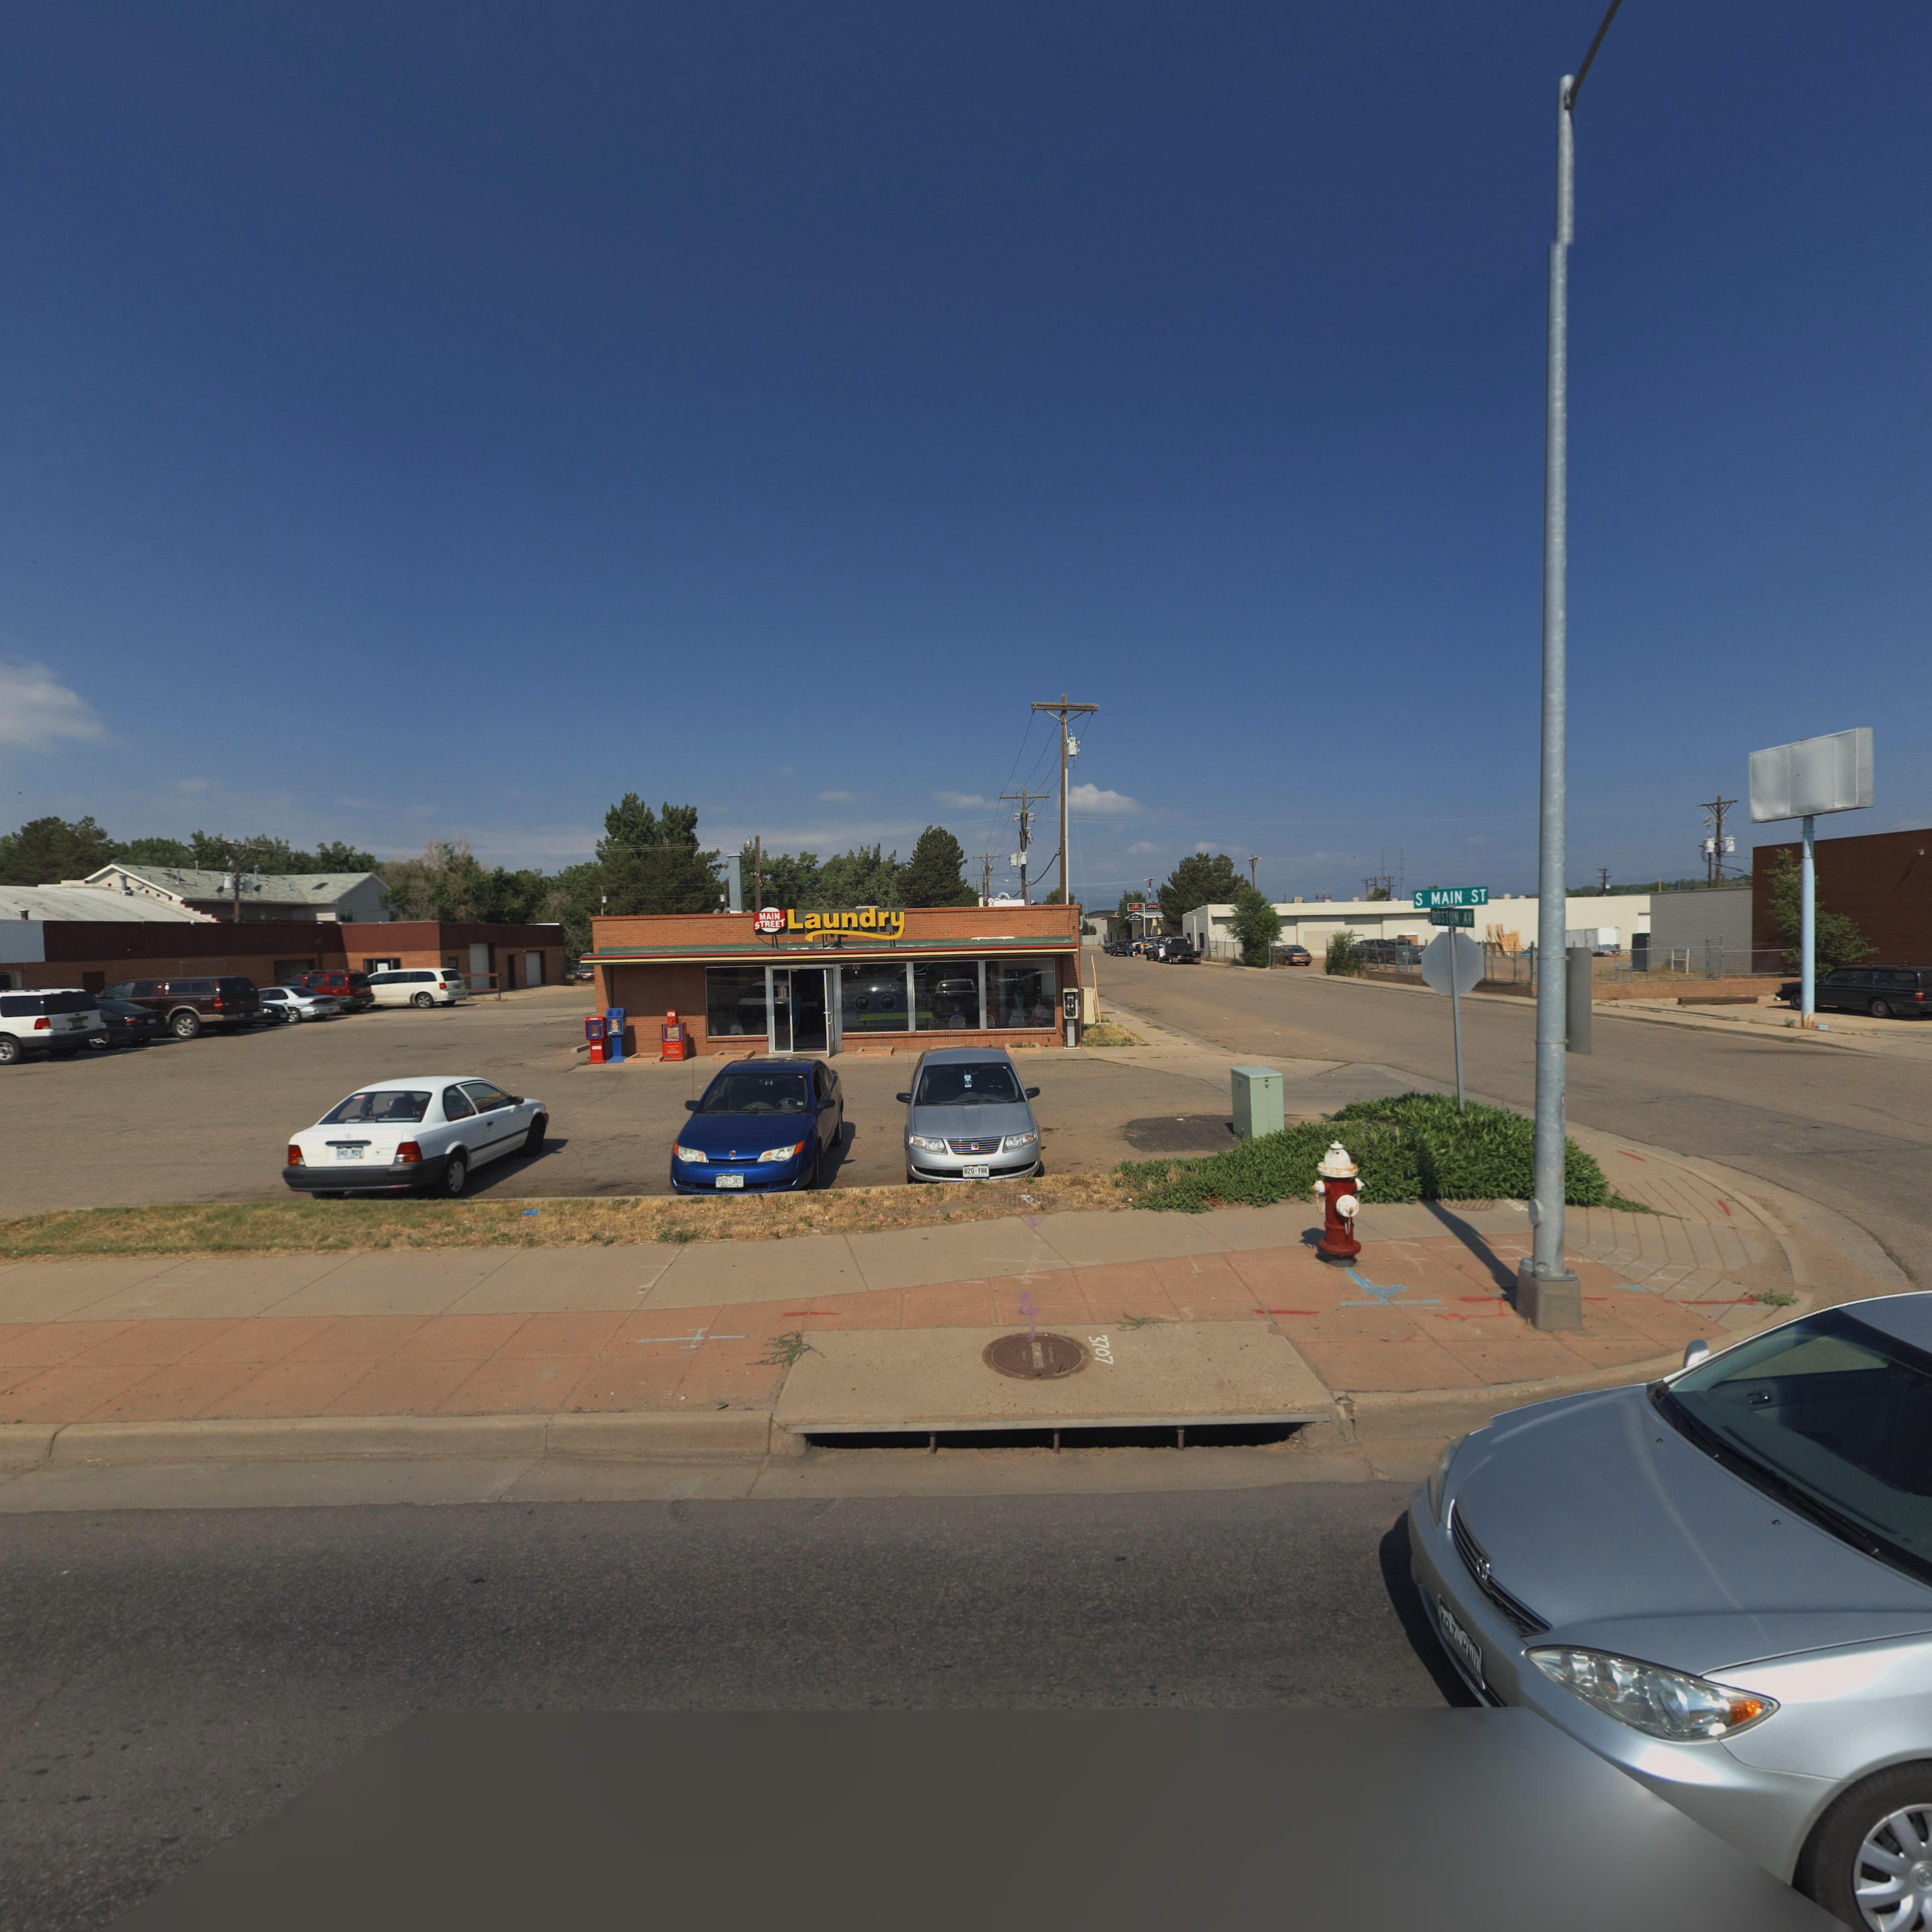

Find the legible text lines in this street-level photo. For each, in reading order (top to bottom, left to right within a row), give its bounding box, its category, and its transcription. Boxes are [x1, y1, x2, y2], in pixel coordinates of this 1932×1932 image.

[1415, 888, 1487, 906] StreetName: S MAIN ST
[759, 911, 780, 920] BusinessName: MAIN
[754, 917, 785, 929] BusinessName: STREET
[787, 907, 905, 938] BusinessName: Laundry
[1431, 910, 1473, 925] StreetName: BOSTON AV
[853, 964, 860, 969] StreetNumber: 101